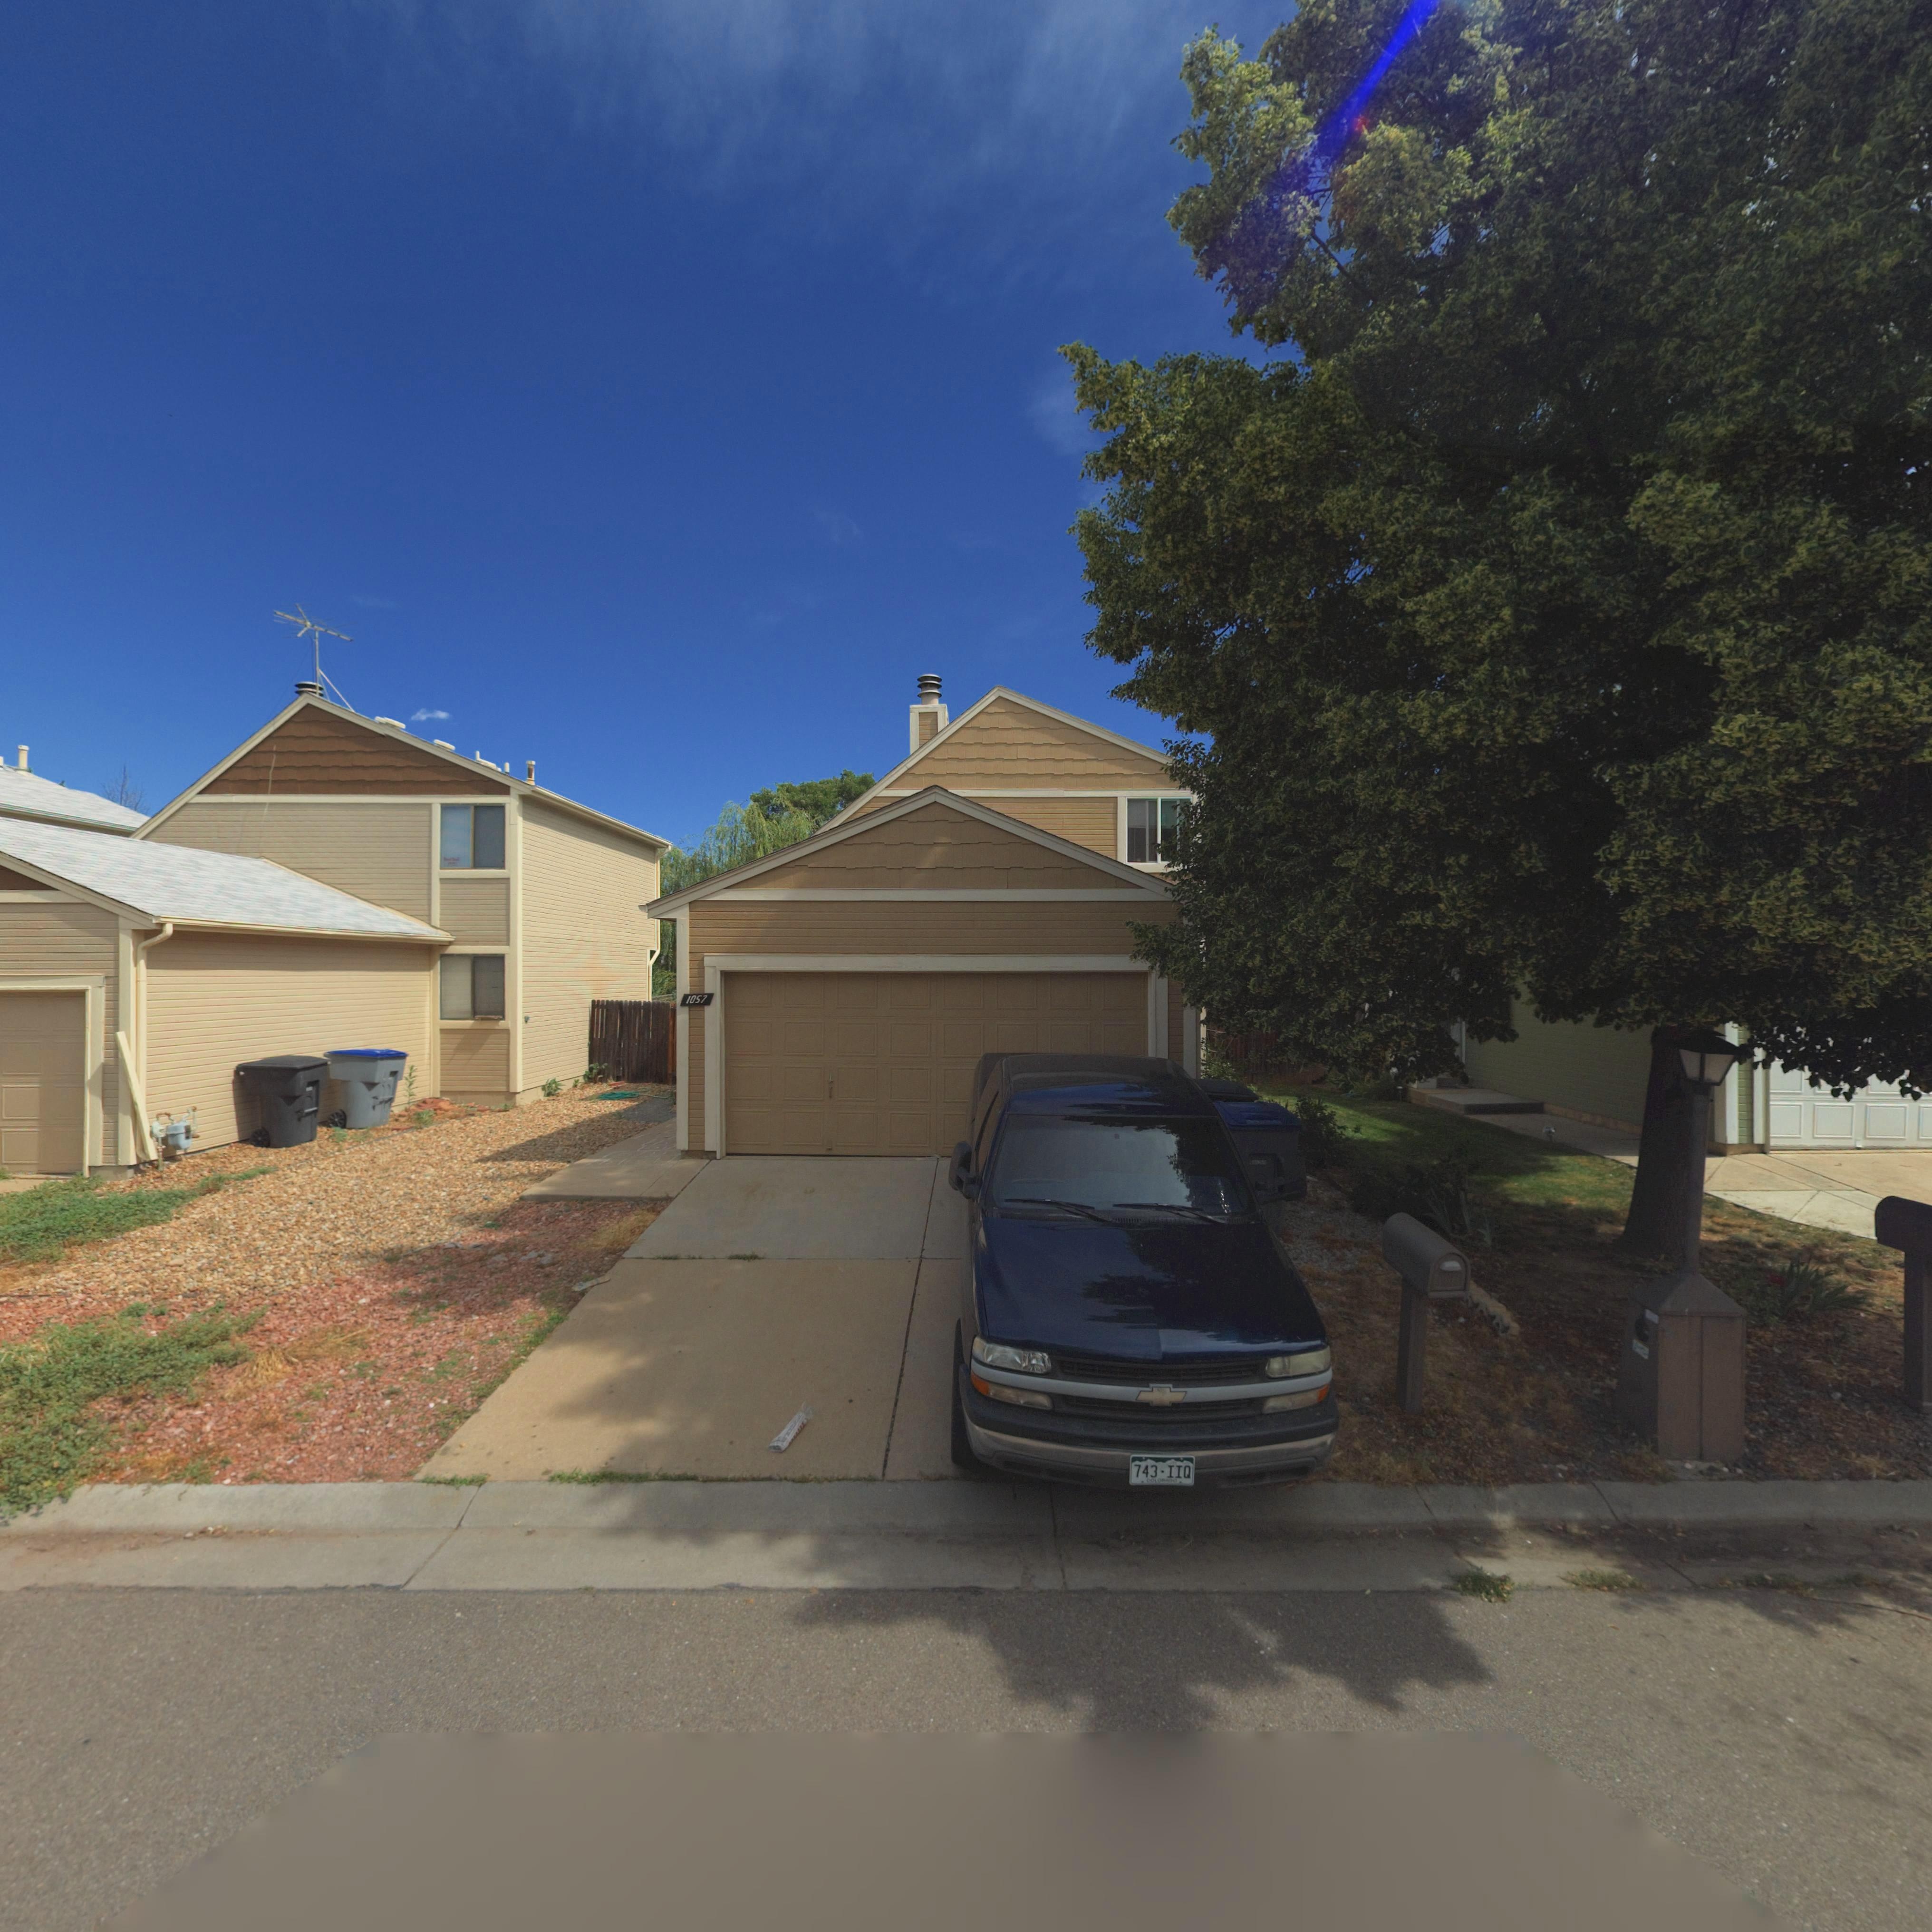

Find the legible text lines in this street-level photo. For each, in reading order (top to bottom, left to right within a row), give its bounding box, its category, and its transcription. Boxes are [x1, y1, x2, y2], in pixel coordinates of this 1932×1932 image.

[685, 995, 709, 1004] StreetNumber: 1057